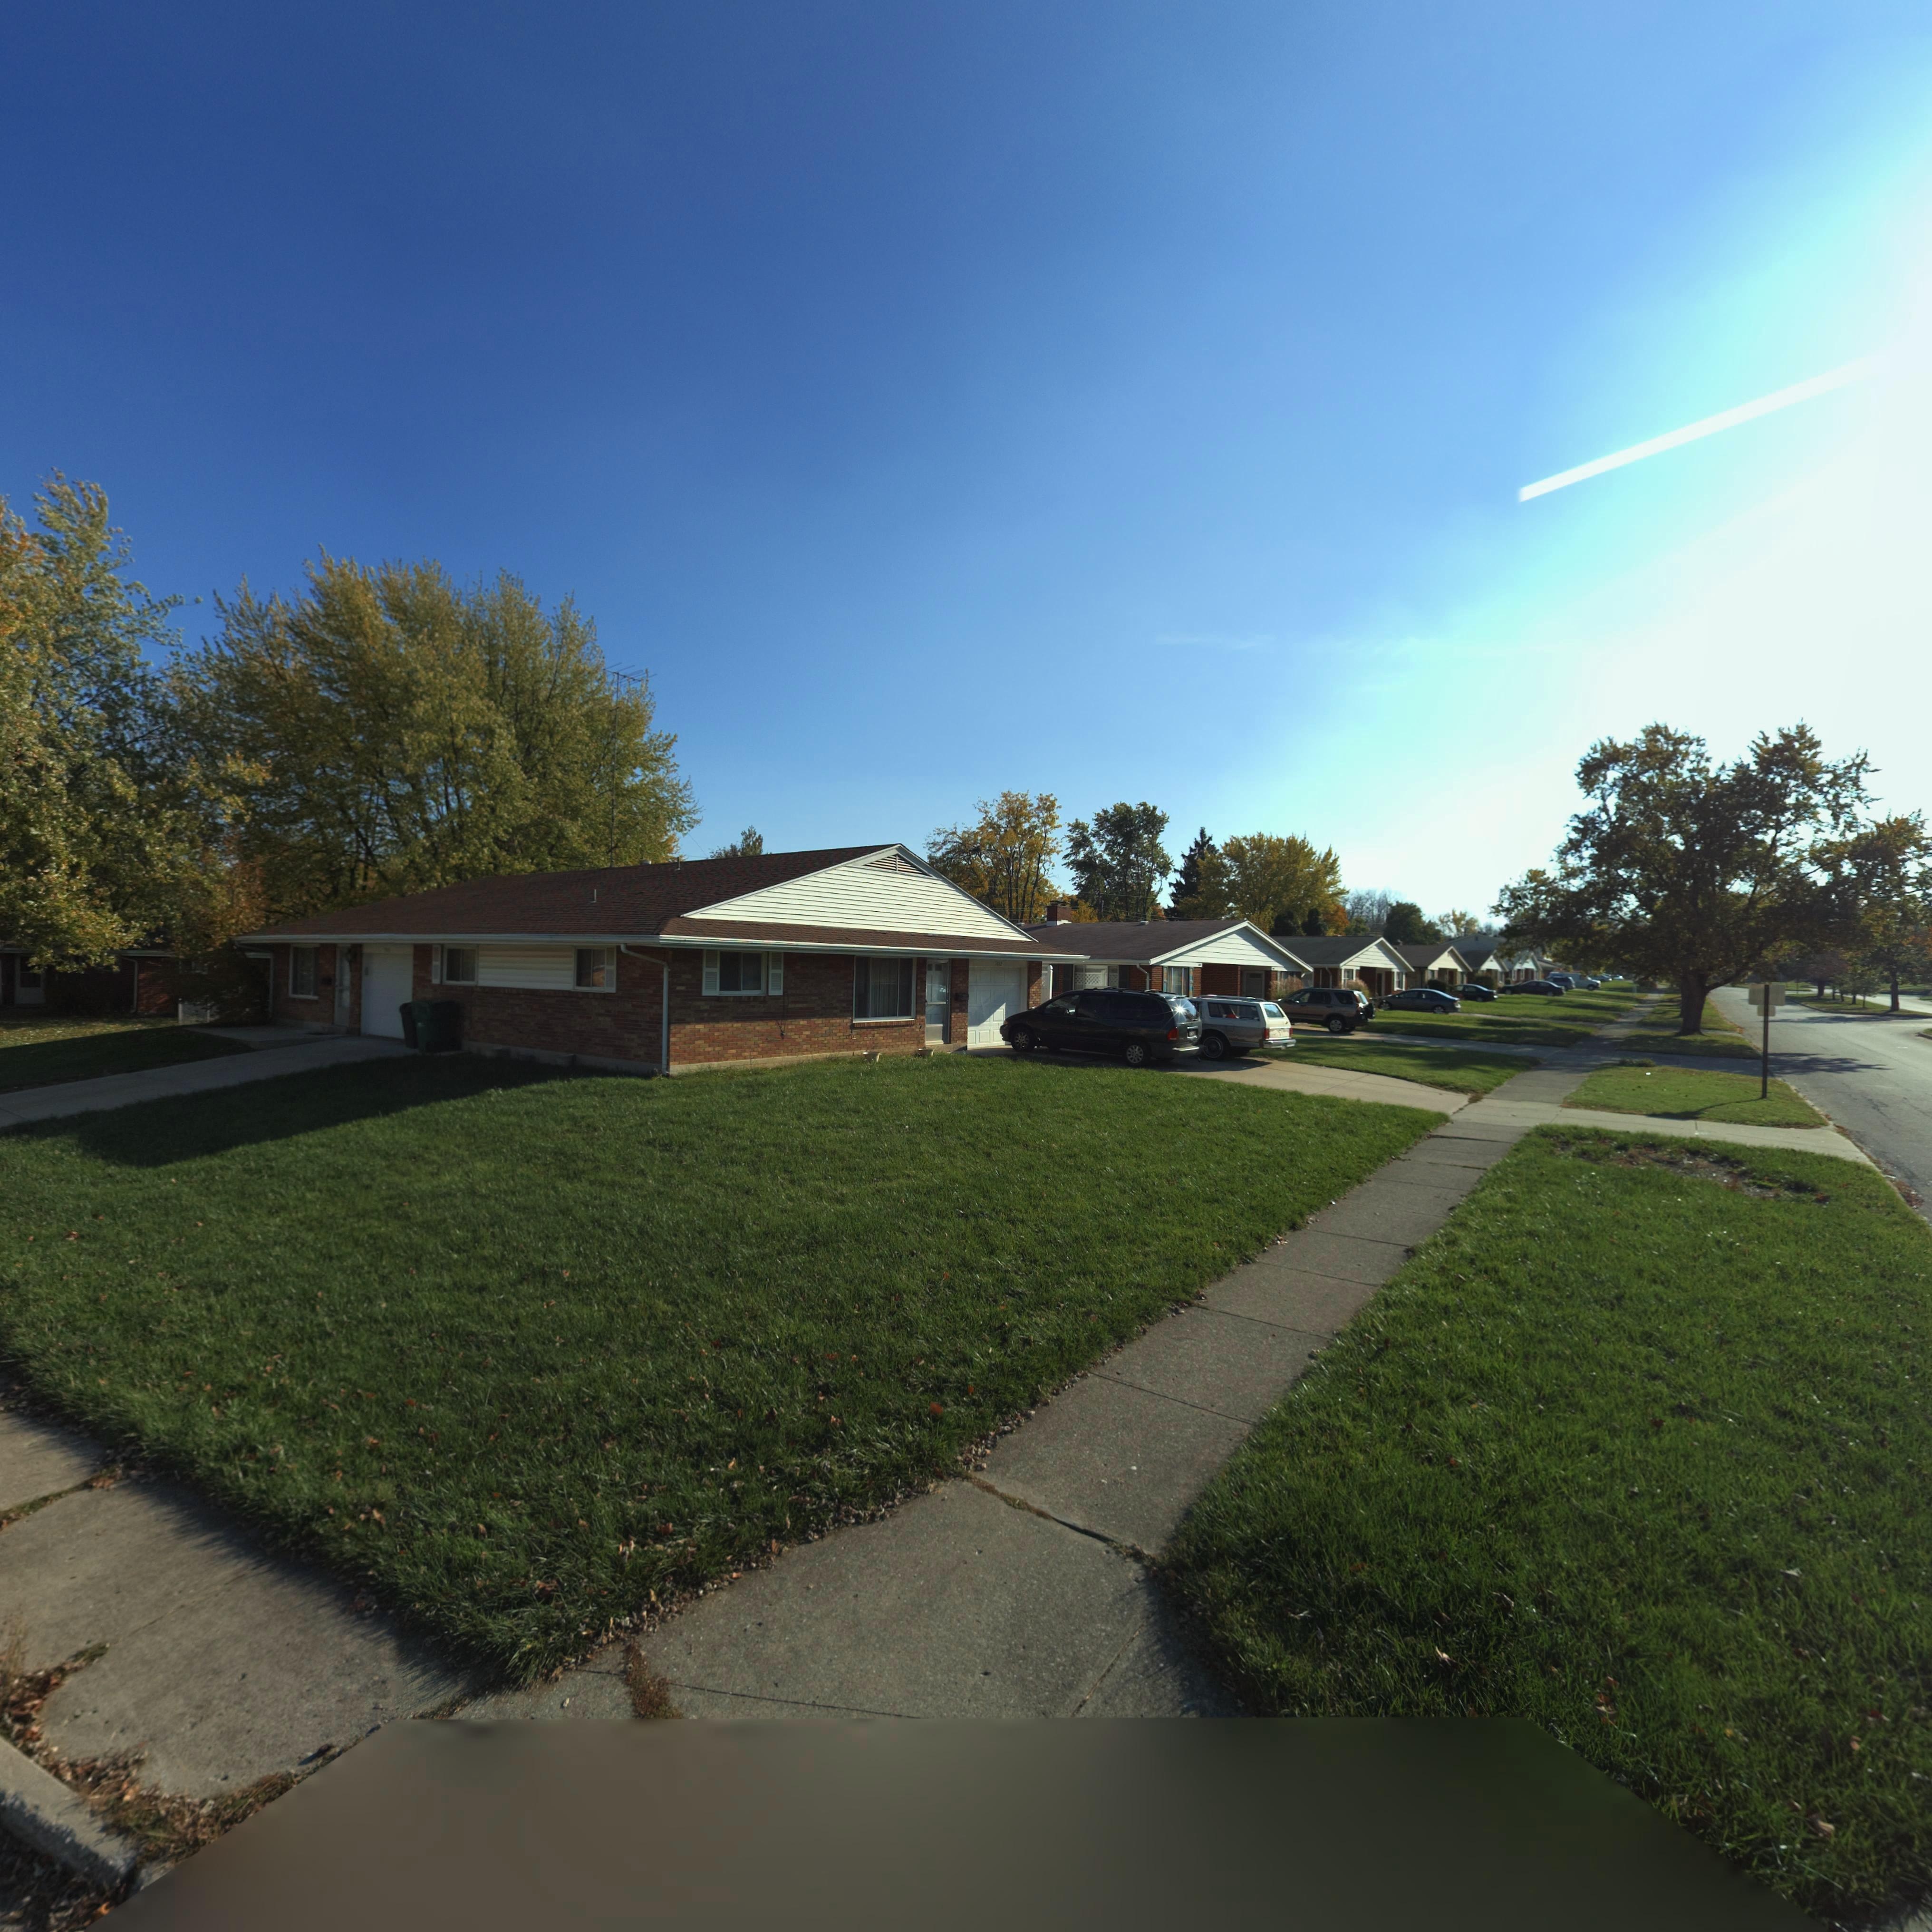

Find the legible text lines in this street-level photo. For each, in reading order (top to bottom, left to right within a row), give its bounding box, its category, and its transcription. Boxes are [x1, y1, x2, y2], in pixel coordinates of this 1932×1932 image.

[994, 961, 1002, 966] StreetNumber: 3102